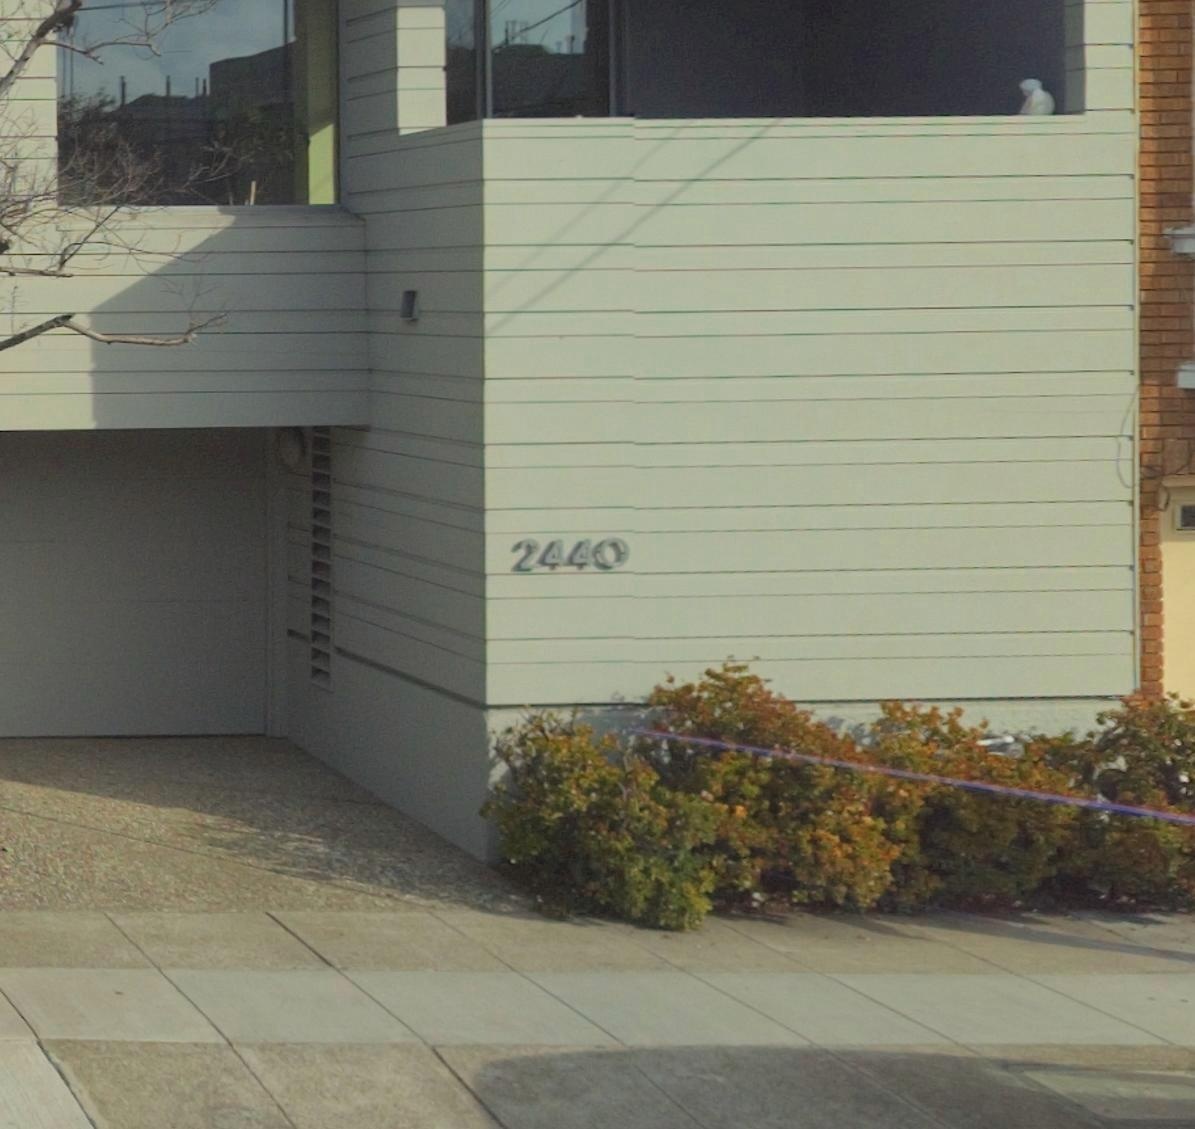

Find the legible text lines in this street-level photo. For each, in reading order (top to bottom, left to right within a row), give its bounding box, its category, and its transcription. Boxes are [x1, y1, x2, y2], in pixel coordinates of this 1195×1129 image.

[508, 536, 632, 575] StreetNumber: 2440